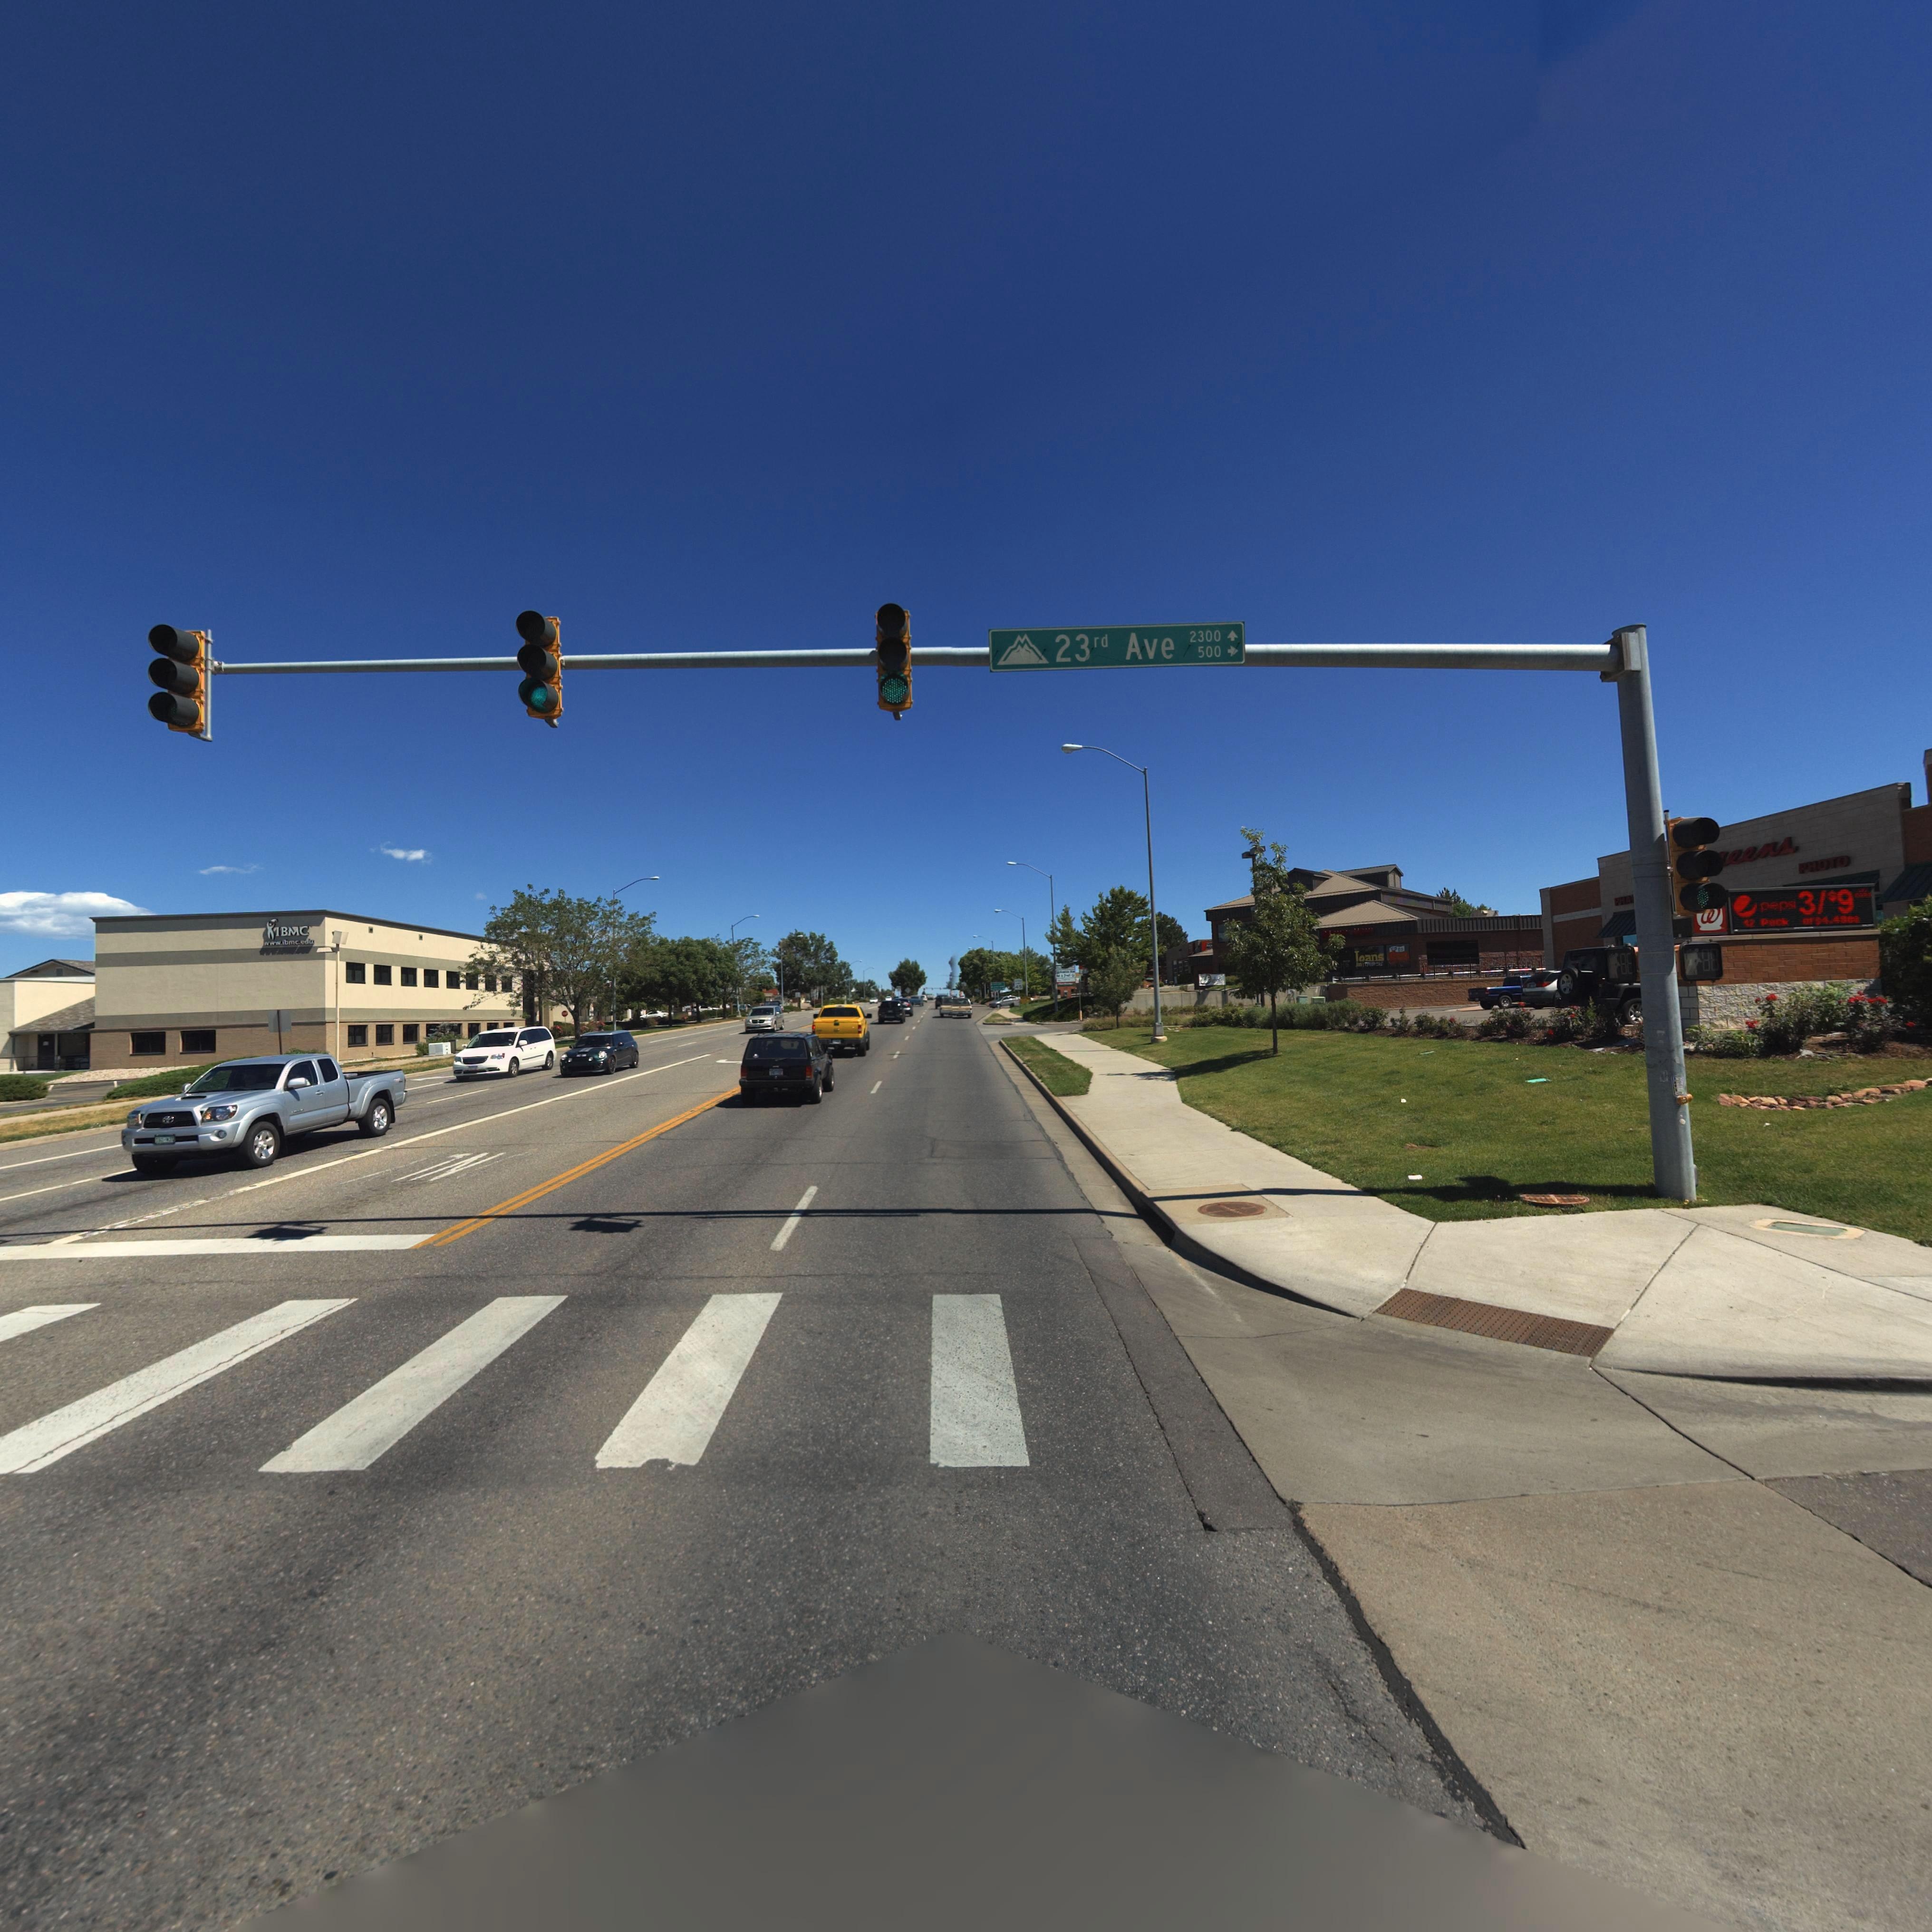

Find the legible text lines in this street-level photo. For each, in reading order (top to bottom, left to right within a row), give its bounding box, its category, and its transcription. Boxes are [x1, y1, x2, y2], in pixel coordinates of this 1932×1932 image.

[1189, 629, 1221, 643] StreetNumberRange: 2300
[1054, 632, 1175, 663] StreetName: 23rd Ave
[1197, 645, 1239, 658] StreetNumberRange: 500->
[1724, 835, 1800, 866] BusinessName: eens
[1700, 908, 1721, 925] BusinessName: W
[275, 926, 309, 937] BusinessName: IBMC
[1321, 927, 1373, 938] BusinessName: M**** Now